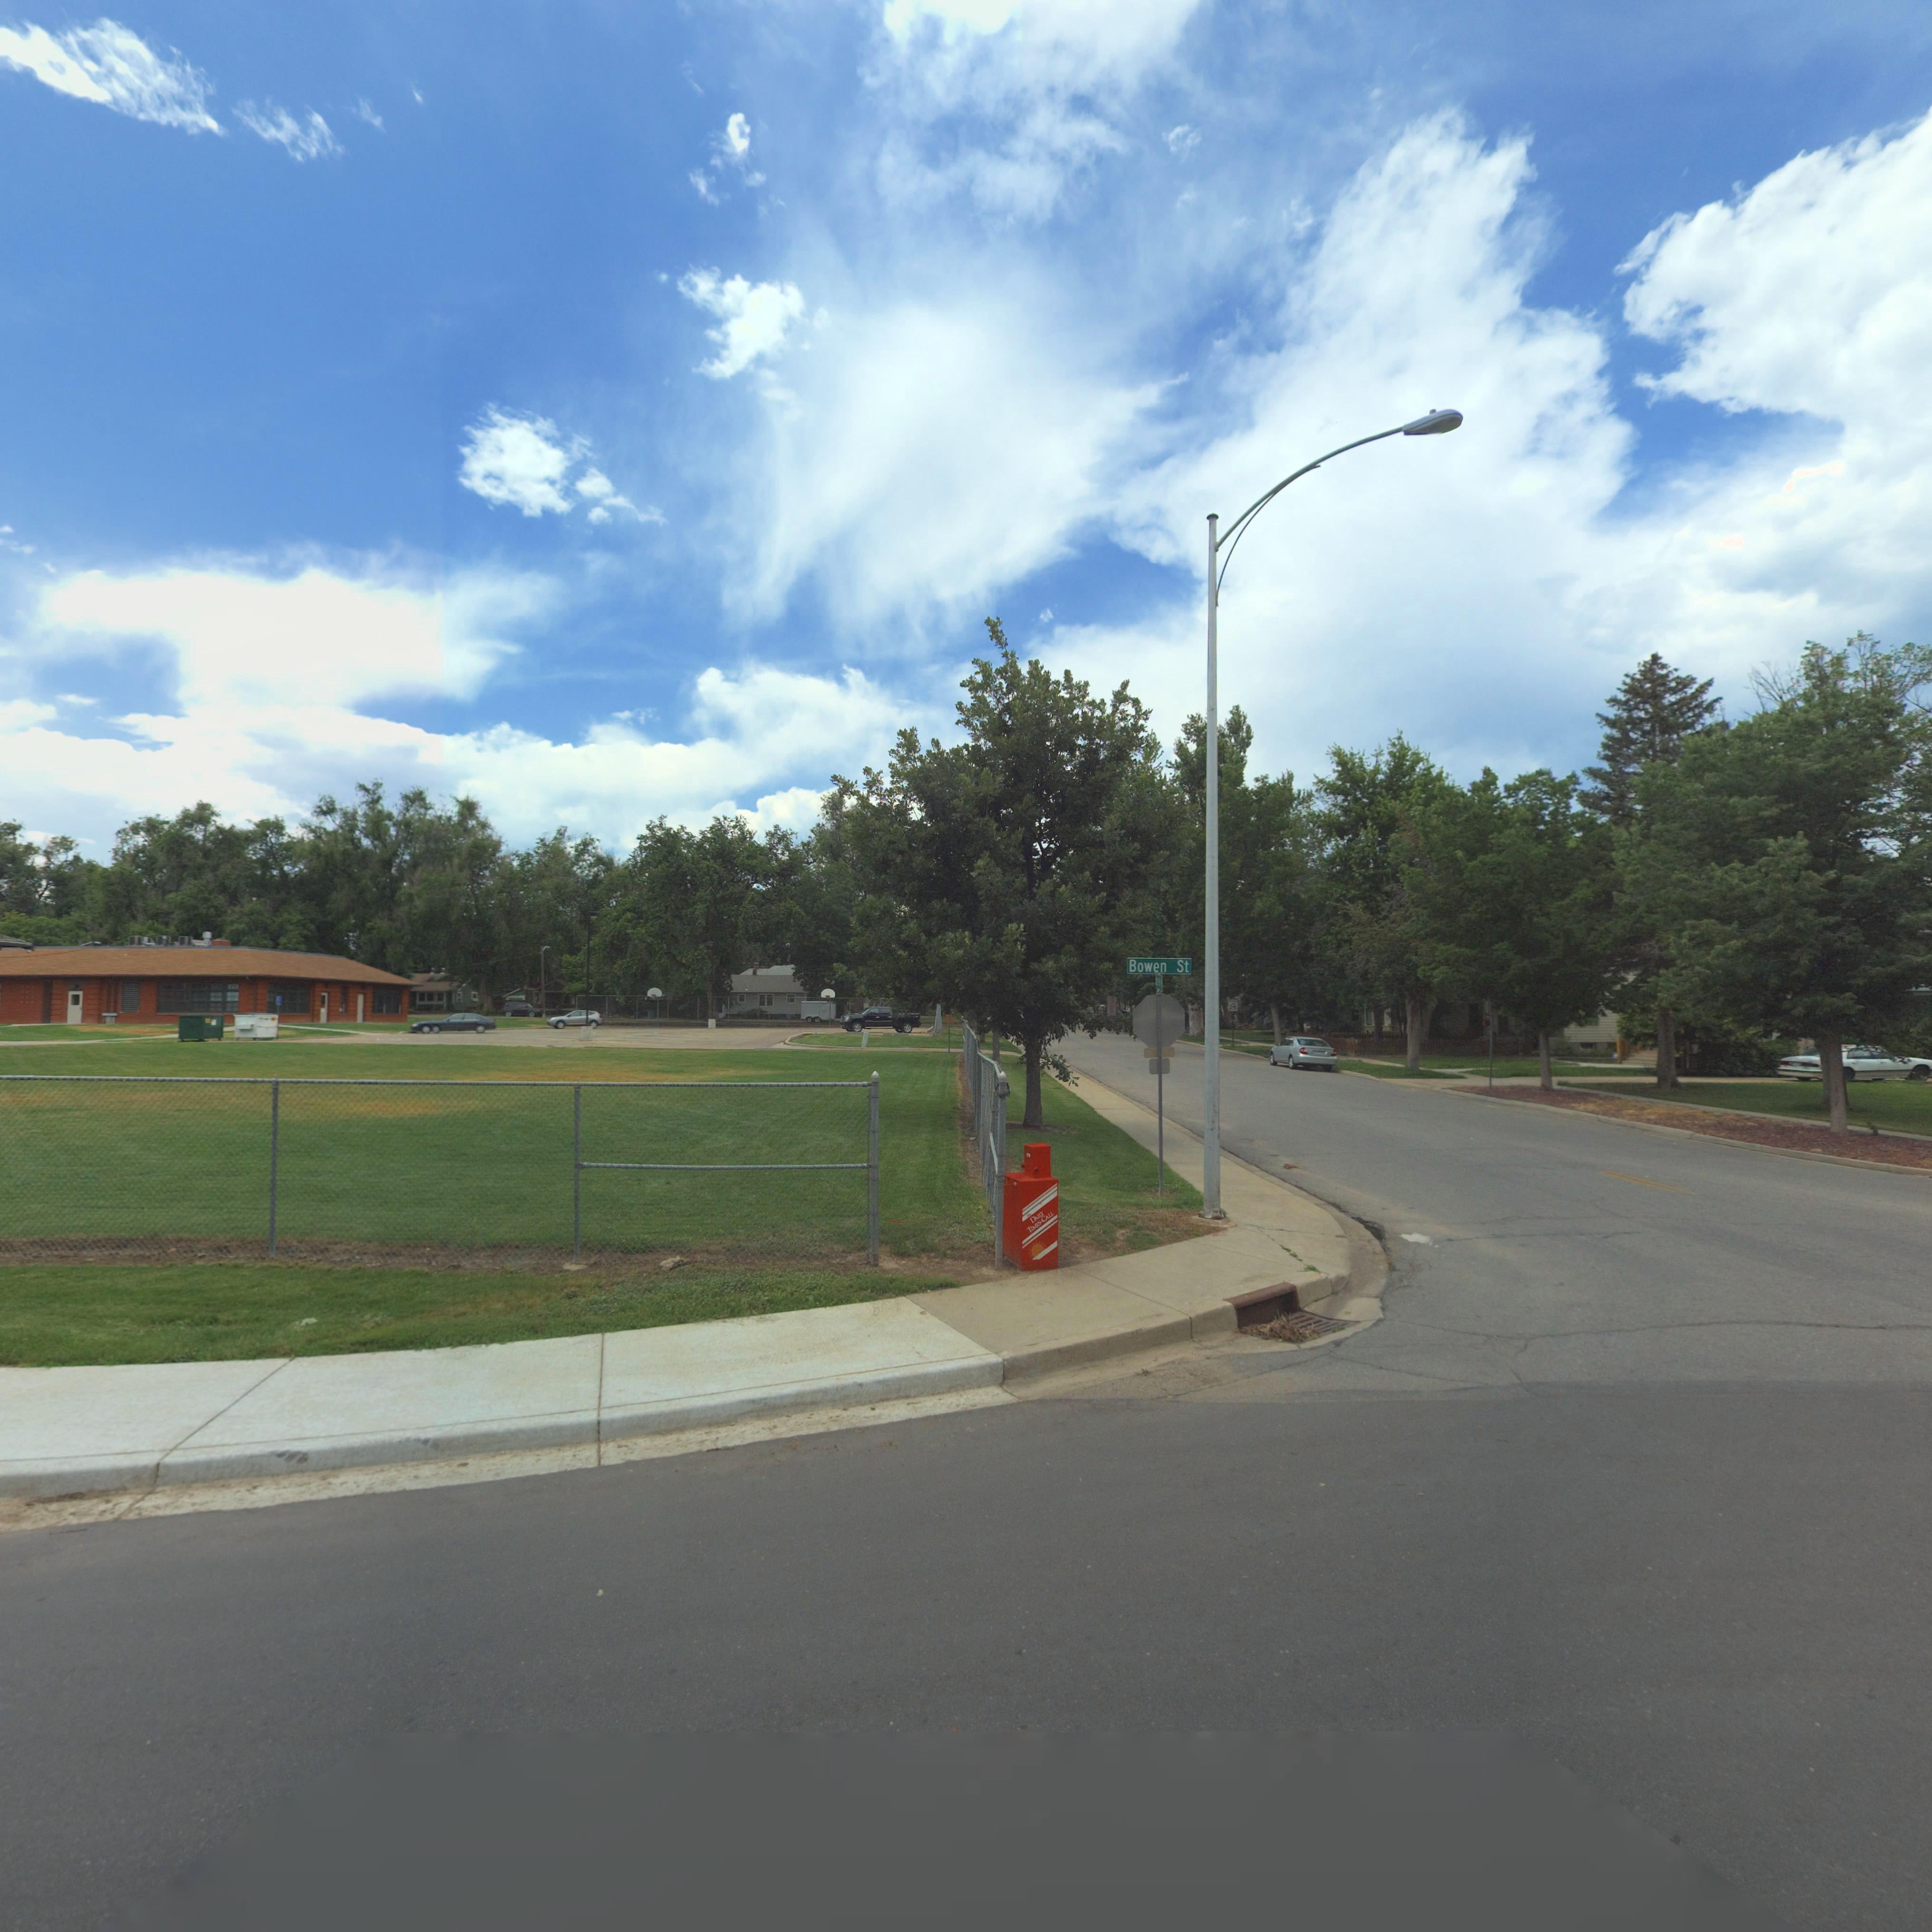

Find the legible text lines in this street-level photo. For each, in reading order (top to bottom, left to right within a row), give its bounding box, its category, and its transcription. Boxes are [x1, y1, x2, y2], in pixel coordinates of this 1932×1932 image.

[1129, 959, 1189, 973] StreetName: Bowen St